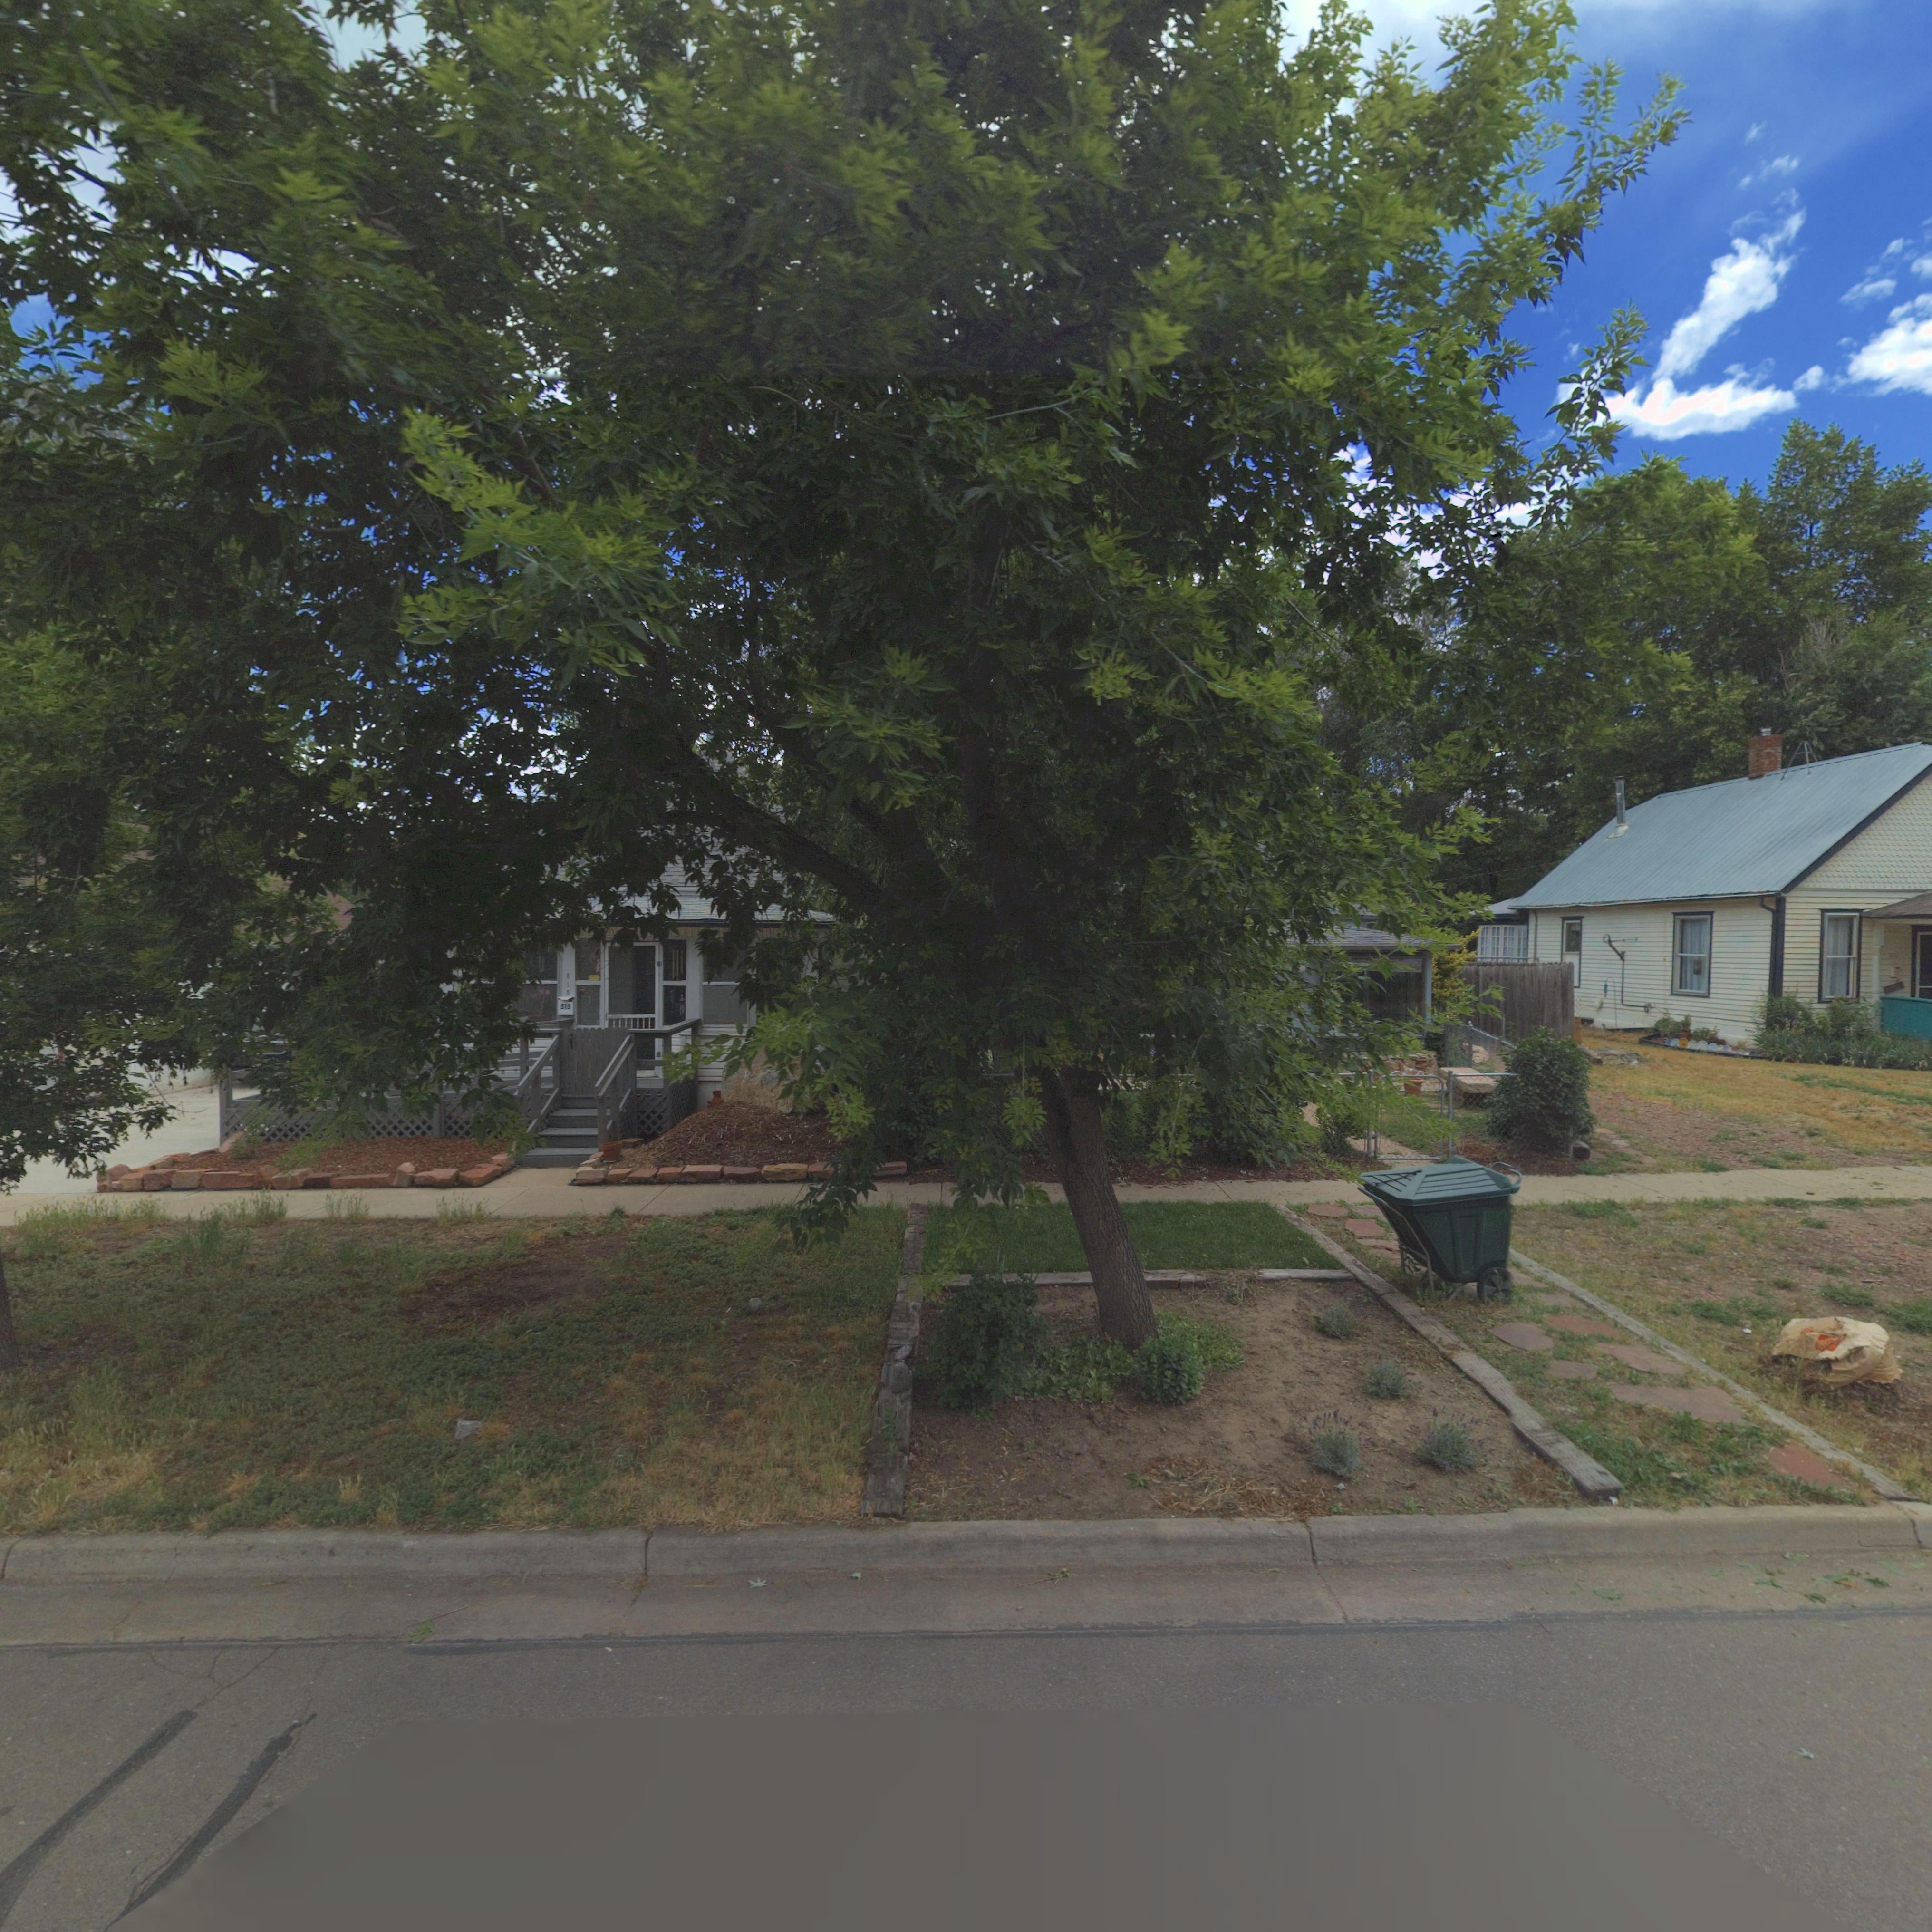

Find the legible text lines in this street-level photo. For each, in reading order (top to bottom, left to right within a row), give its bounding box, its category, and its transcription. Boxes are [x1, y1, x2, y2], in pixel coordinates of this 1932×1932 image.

[566, 973, 570, 995] StreetNumber: 515
[560, 1004, 570, 1009] StreetNumber: 515